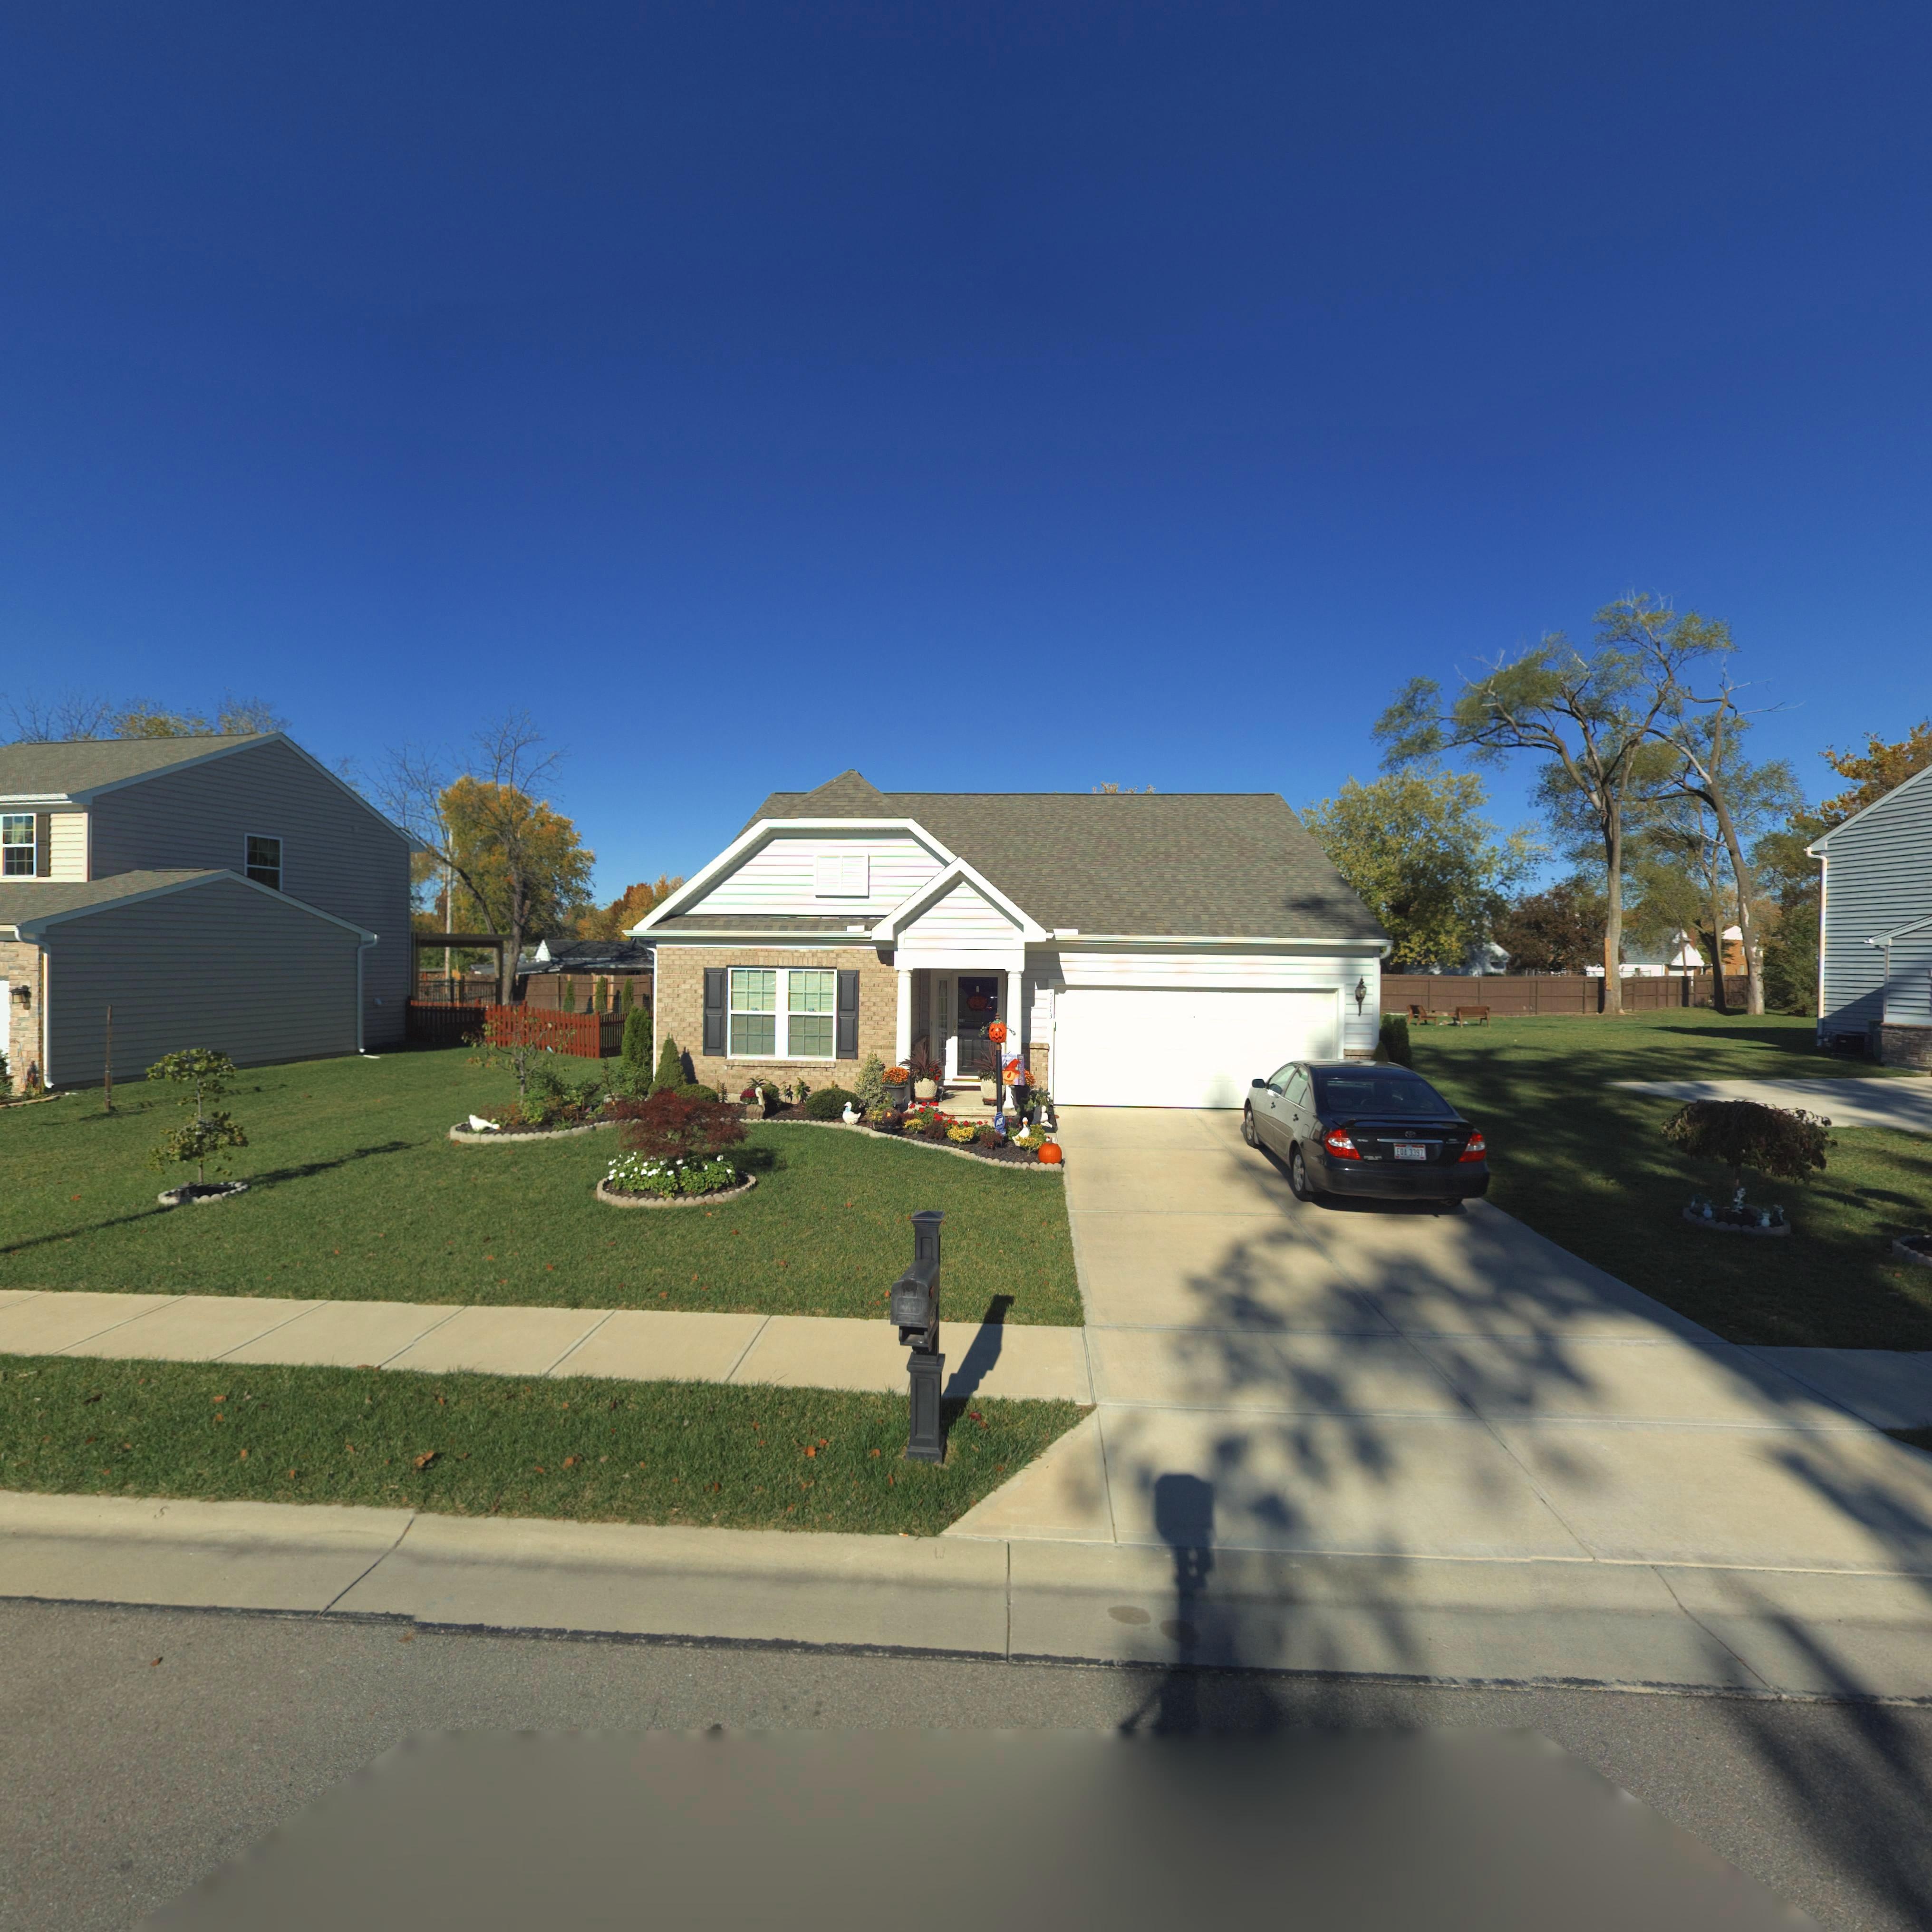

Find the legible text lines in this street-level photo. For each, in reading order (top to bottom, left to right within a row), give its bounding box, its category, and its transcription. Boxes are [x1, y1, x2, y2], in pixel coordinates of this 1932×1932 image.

[1048, 992, 1053, 1020] StreetNumber: 5113